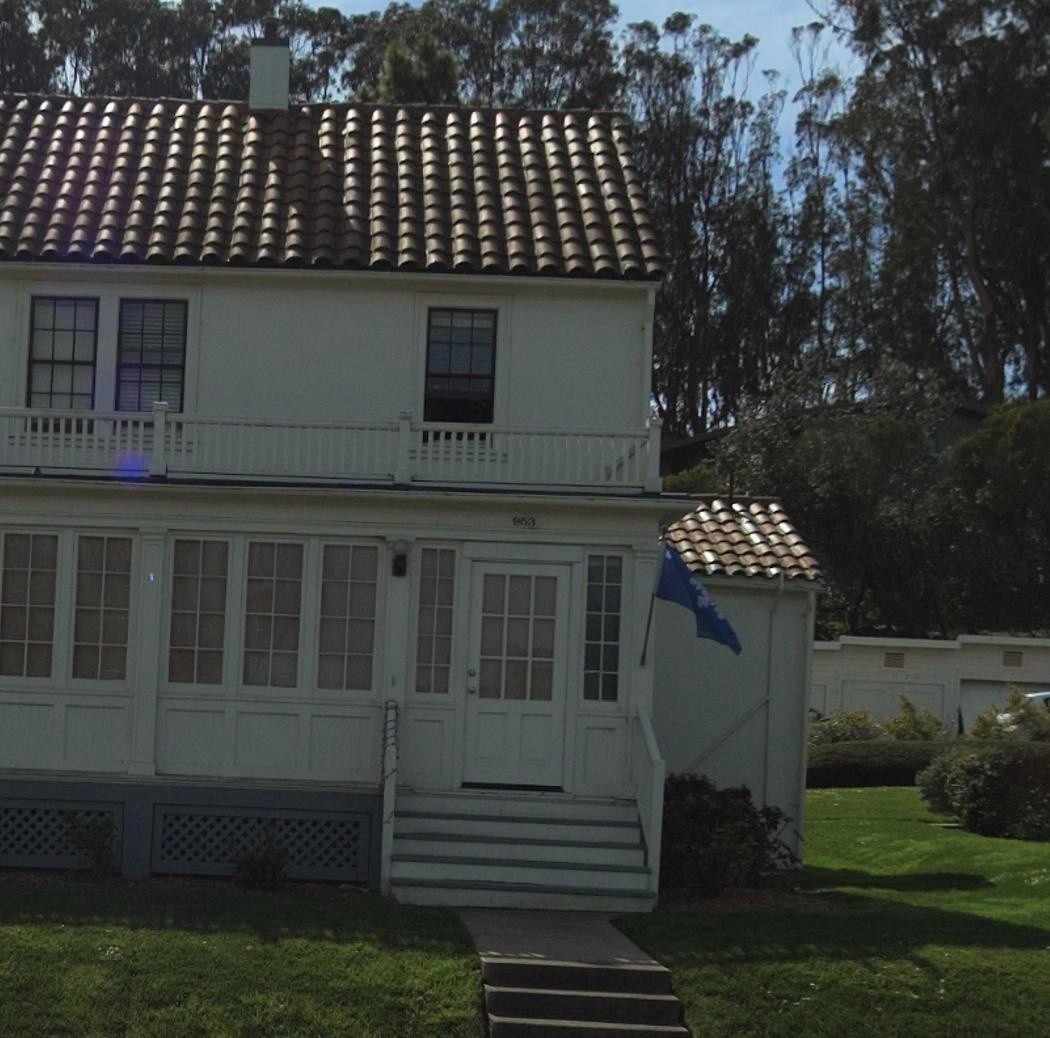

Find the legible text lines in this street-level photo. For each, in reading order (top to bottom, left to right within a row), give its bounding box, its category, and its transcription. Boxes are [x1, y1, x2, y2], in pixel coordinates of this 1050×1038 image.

[510, 515, 538, 528] StreetNumber: 953